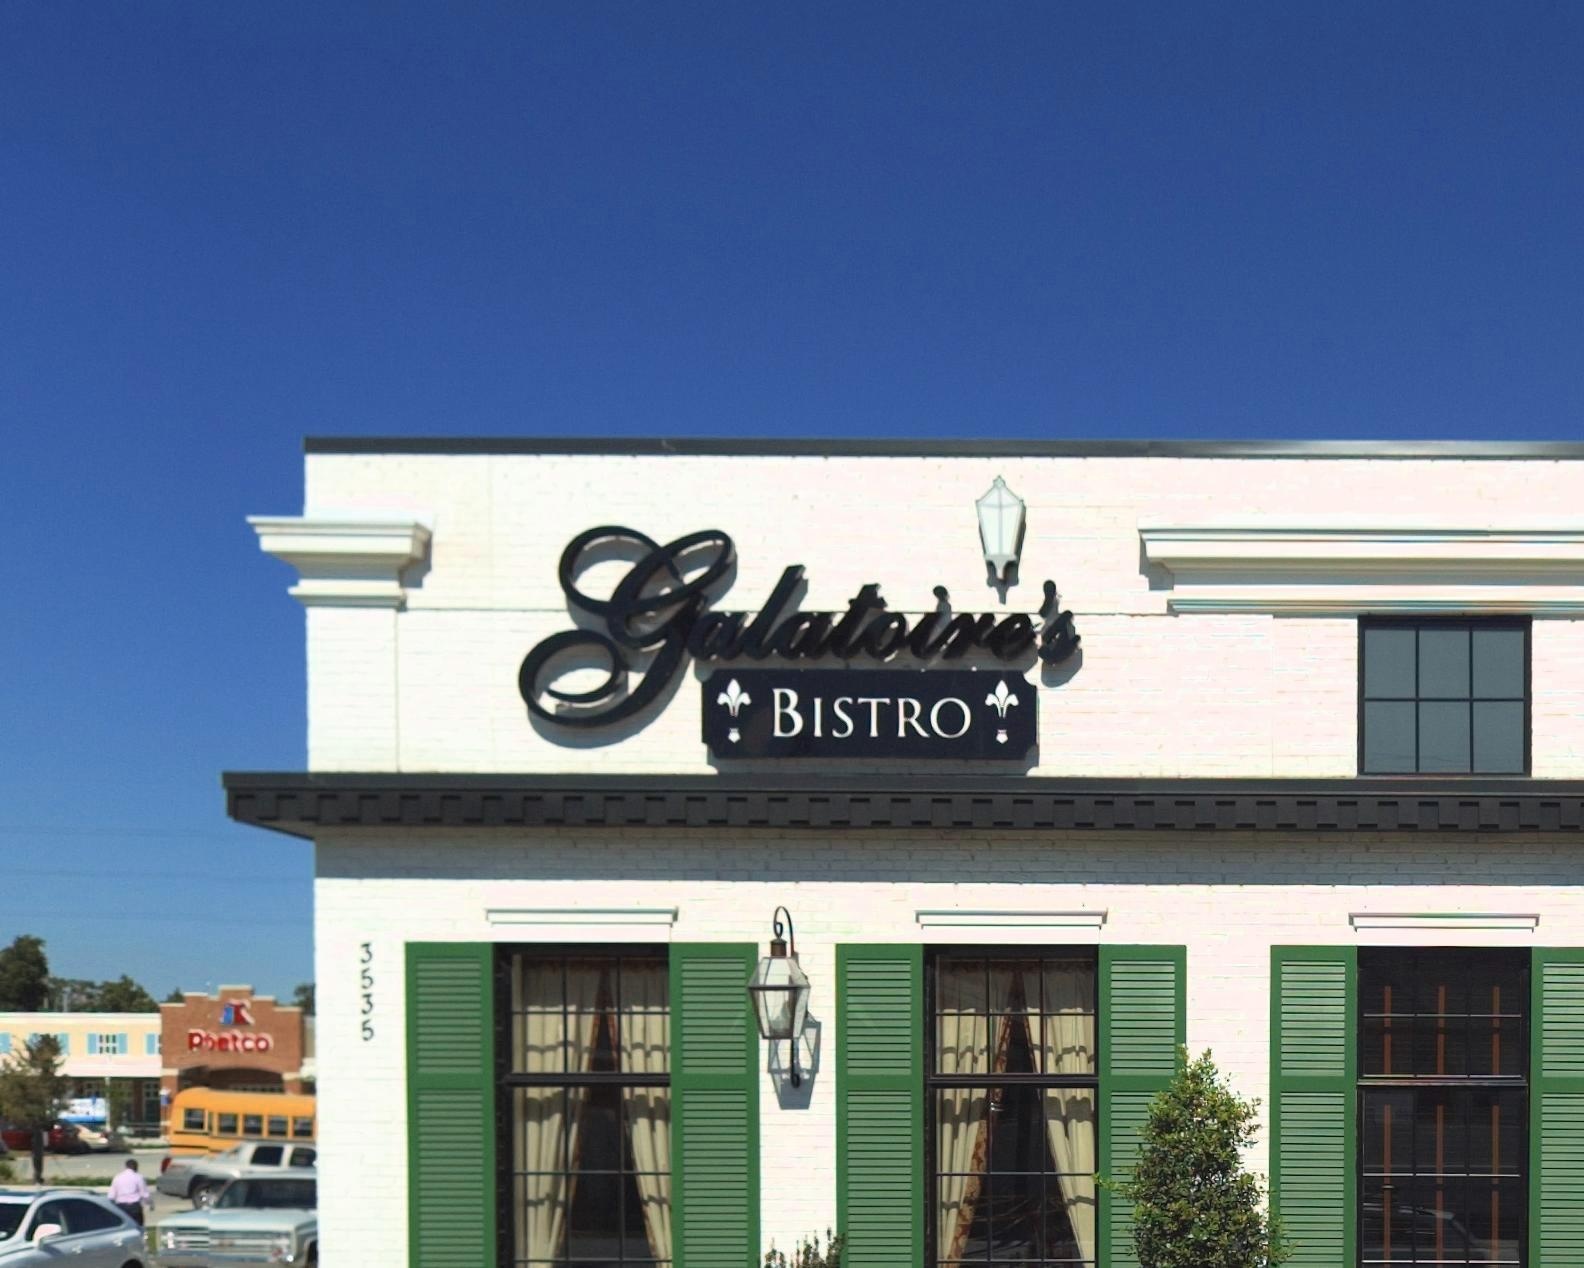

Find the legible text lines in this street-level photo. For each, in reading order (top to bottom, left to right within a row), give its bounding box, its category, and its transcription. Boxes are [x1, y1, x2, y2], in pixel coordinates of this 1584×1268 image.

[517, 521, 1084, 734] BusinessName: Galatoire's
[770, 686, 975, 741] BusinessName: BISTRO
[187, 1029, 275, 1055] BusinessName: P*erco
[358, 940, 377, 1043] StreetNumber: 3535